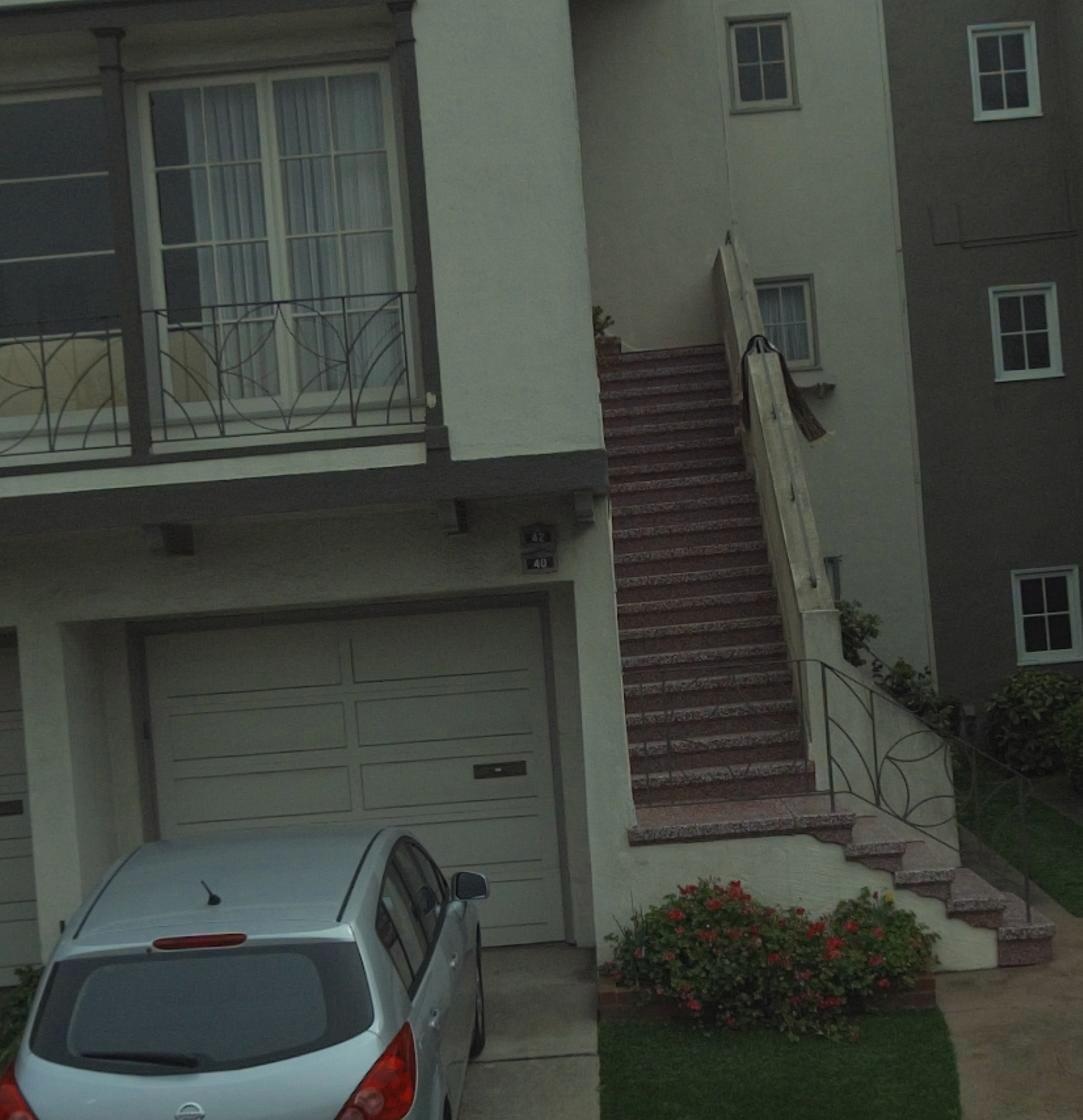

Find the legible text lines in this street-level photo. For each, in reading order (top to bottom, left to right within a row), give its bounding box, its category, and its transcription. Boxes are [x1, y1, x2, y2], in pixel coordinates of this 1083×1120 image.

[530, 531, 546, 544] StreetNumber: 42
[533, 557, 549, 570] StreetNumber: 40